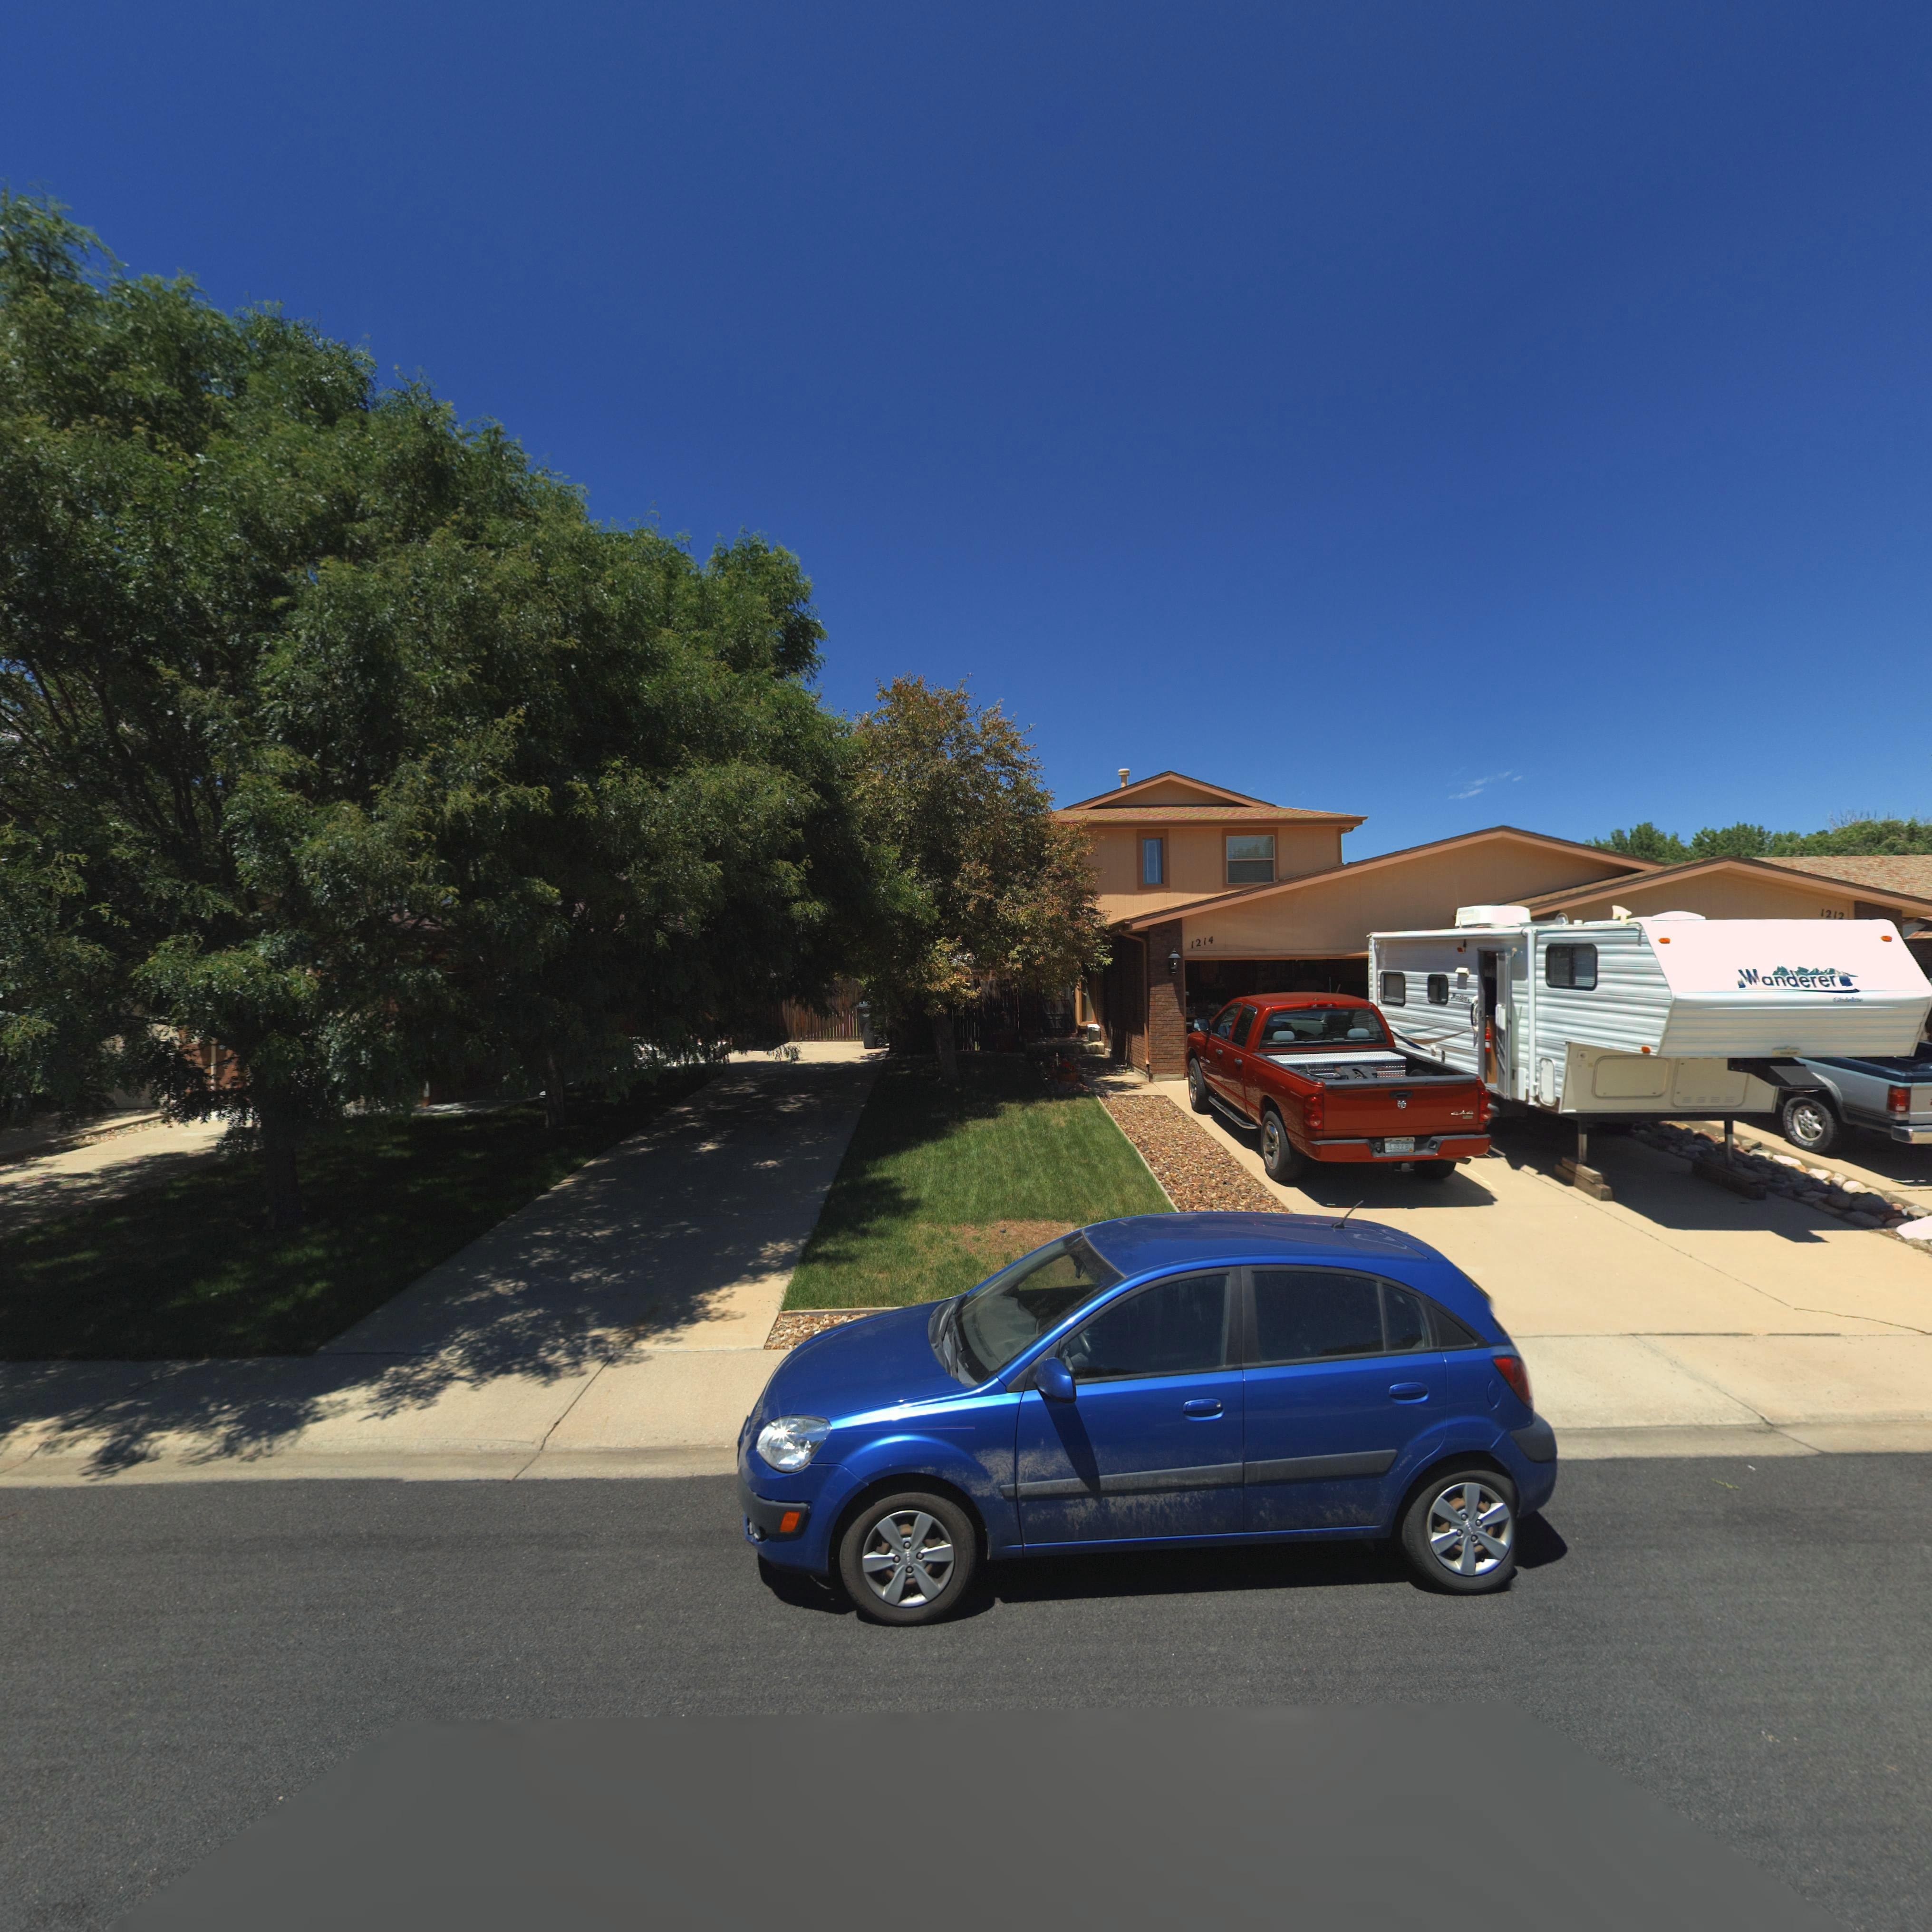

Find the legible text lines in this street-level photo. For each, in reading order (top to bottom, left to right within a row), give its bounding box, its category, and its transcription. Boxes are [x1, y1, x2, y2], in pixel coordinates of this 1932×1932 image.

[1190, 935, 1214, 949] StreetNumber: 1214